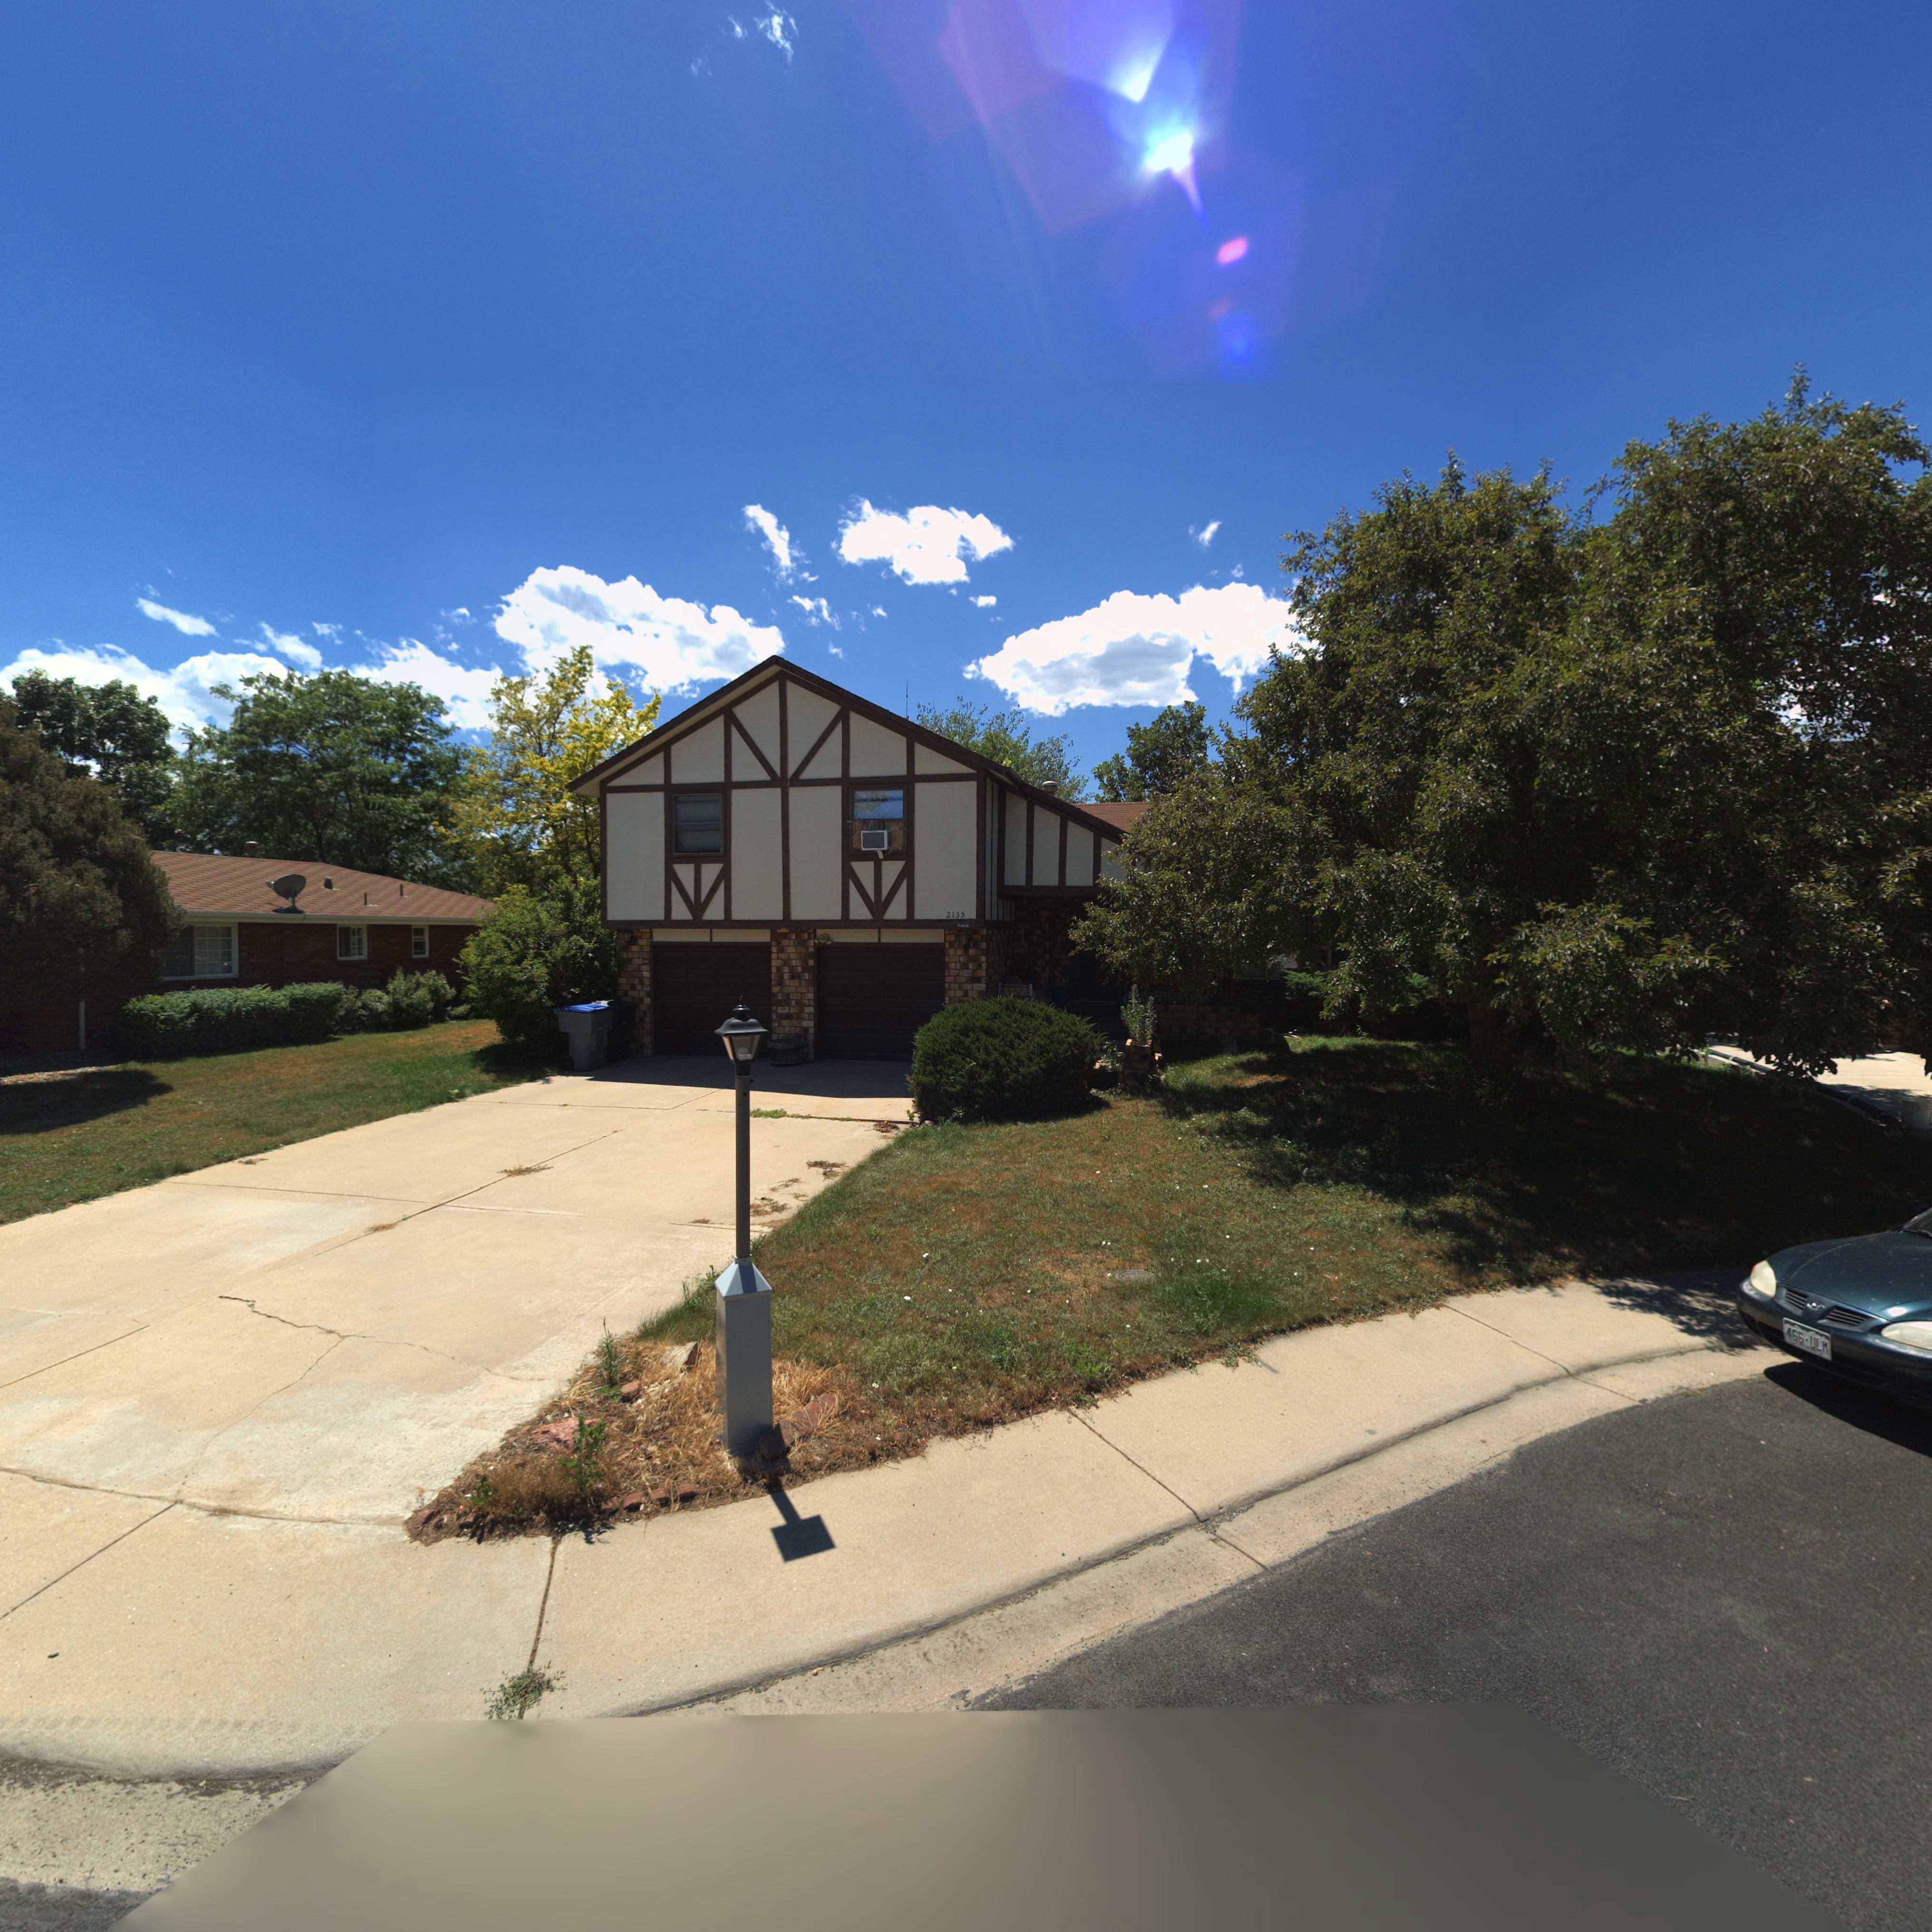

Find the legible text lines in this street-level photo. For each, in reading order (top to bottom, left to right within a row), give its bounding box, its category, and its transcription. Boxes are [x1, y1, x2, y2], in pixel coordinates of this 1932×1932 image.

[946, 911, 965, 918] StreetNumber: 2135